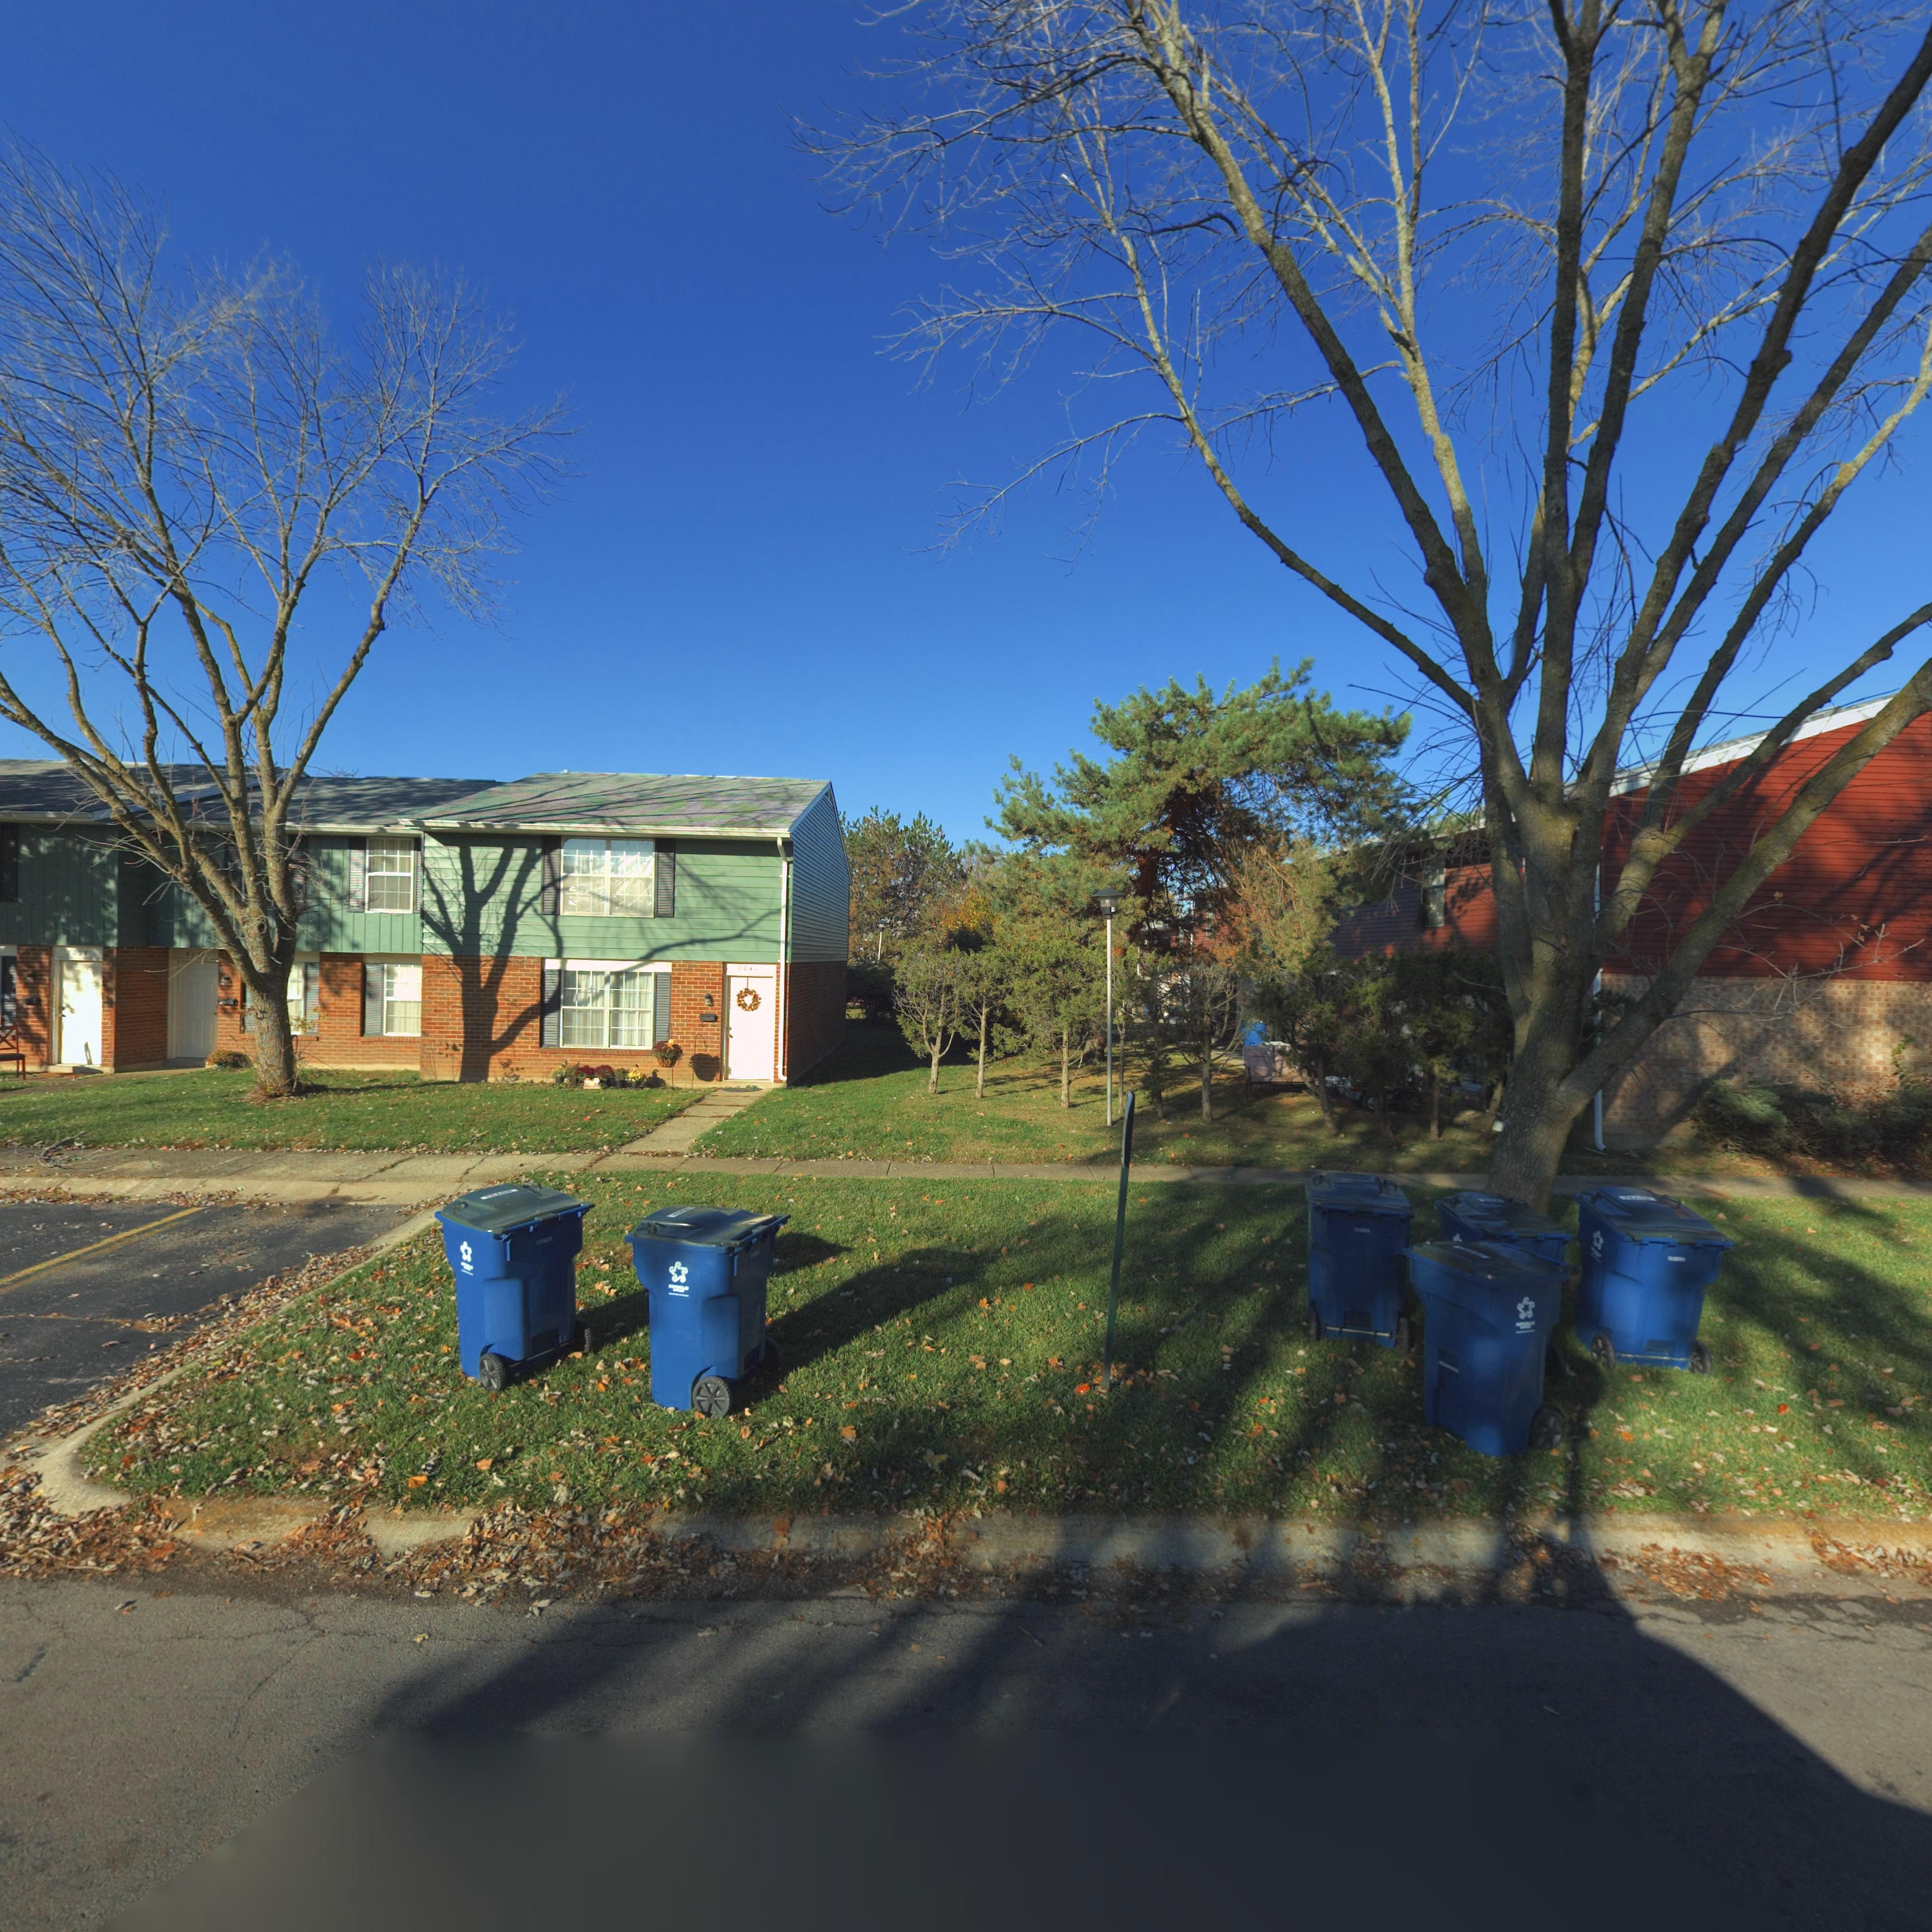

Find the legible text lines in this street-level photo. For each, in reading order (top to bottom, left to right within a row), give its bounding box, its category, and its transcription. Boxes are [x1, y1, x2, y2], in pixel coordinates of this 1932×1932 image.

[64, 949, 89, 957] StreetNumber: *0**
[184, 950, 196, 958] StreetNumber: *0
[736, 964, 758, 972] StreetNumber: *0**